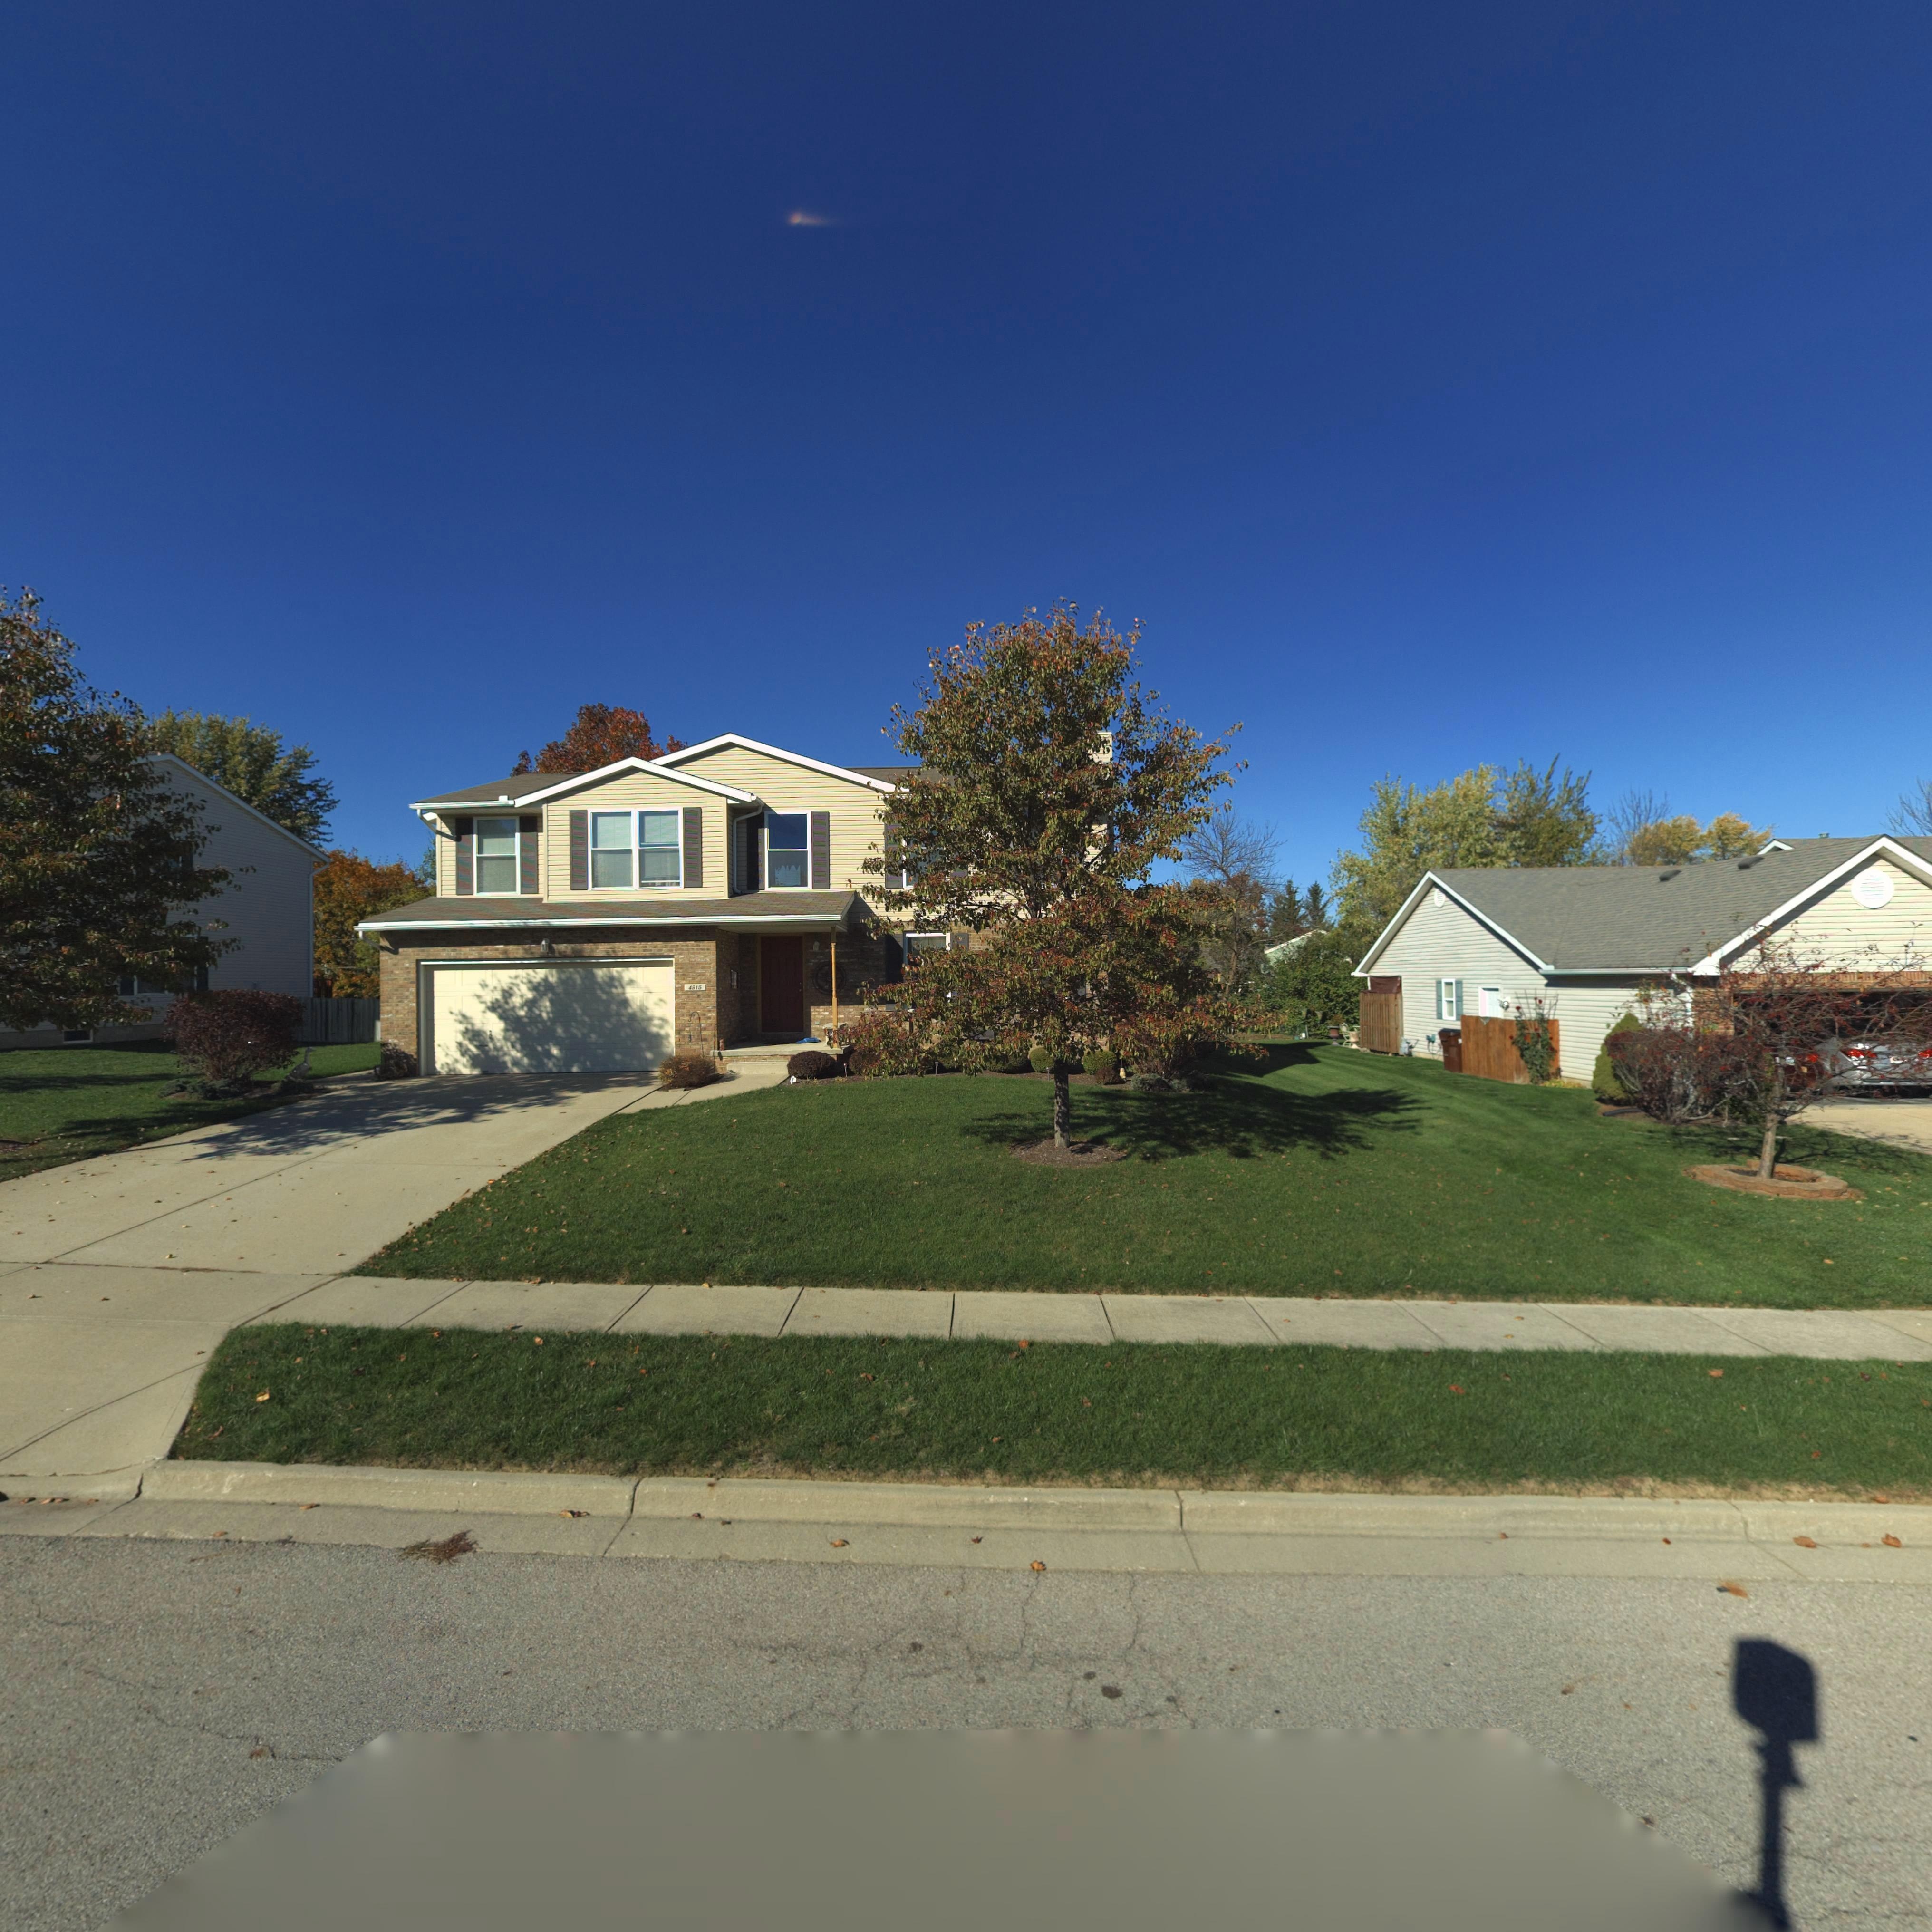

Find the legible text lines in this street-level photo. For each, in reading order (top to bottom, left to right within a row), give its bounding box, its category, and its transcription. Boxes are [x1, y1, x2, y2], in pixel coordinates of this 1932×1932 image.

[687, 984, 703, 991] StreetNumber: 451*